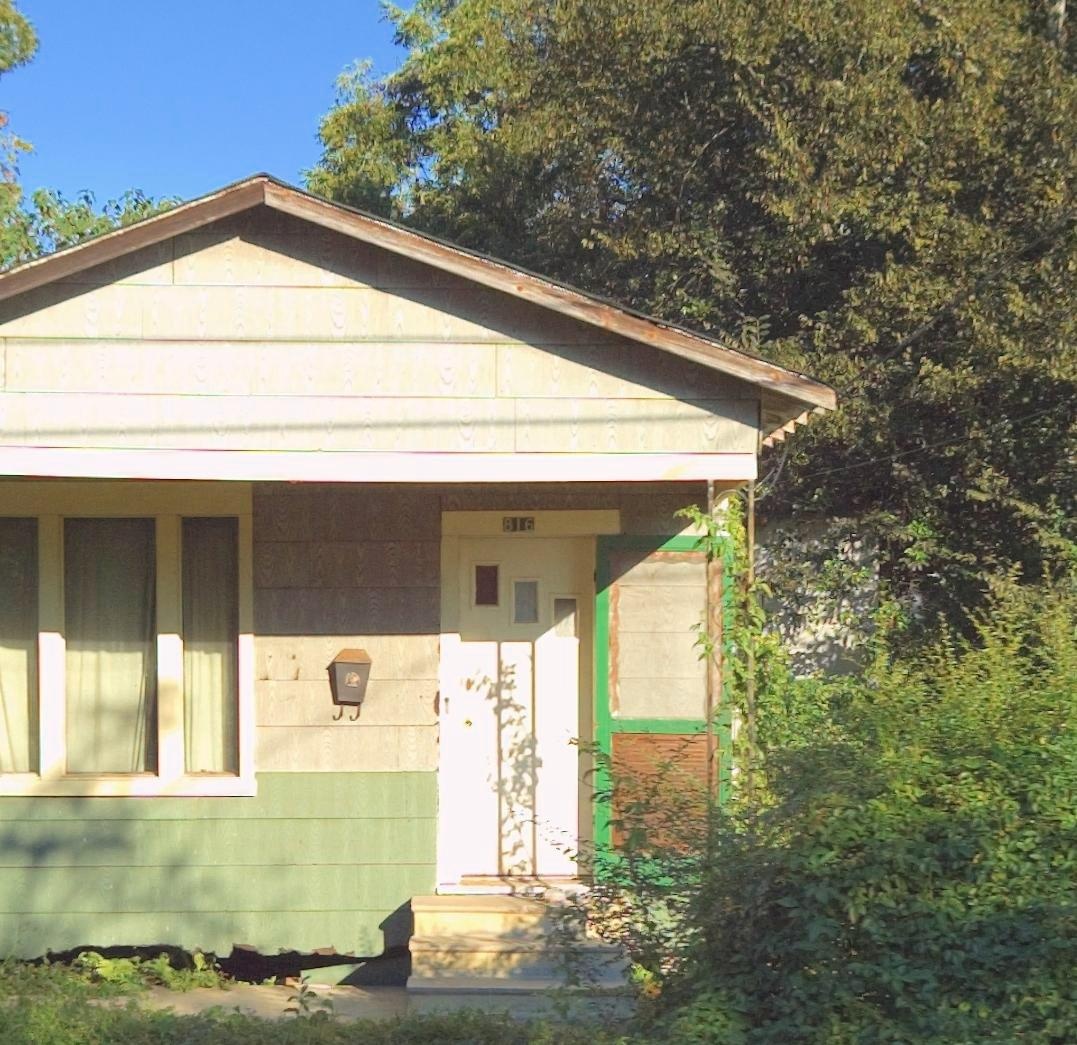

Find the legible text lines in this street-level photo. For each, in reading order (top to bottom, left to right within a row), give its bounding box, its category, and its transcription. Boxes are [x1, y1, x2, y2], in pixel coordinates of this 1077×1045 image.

[501, 515, 536, 534] StreetNumber: 816